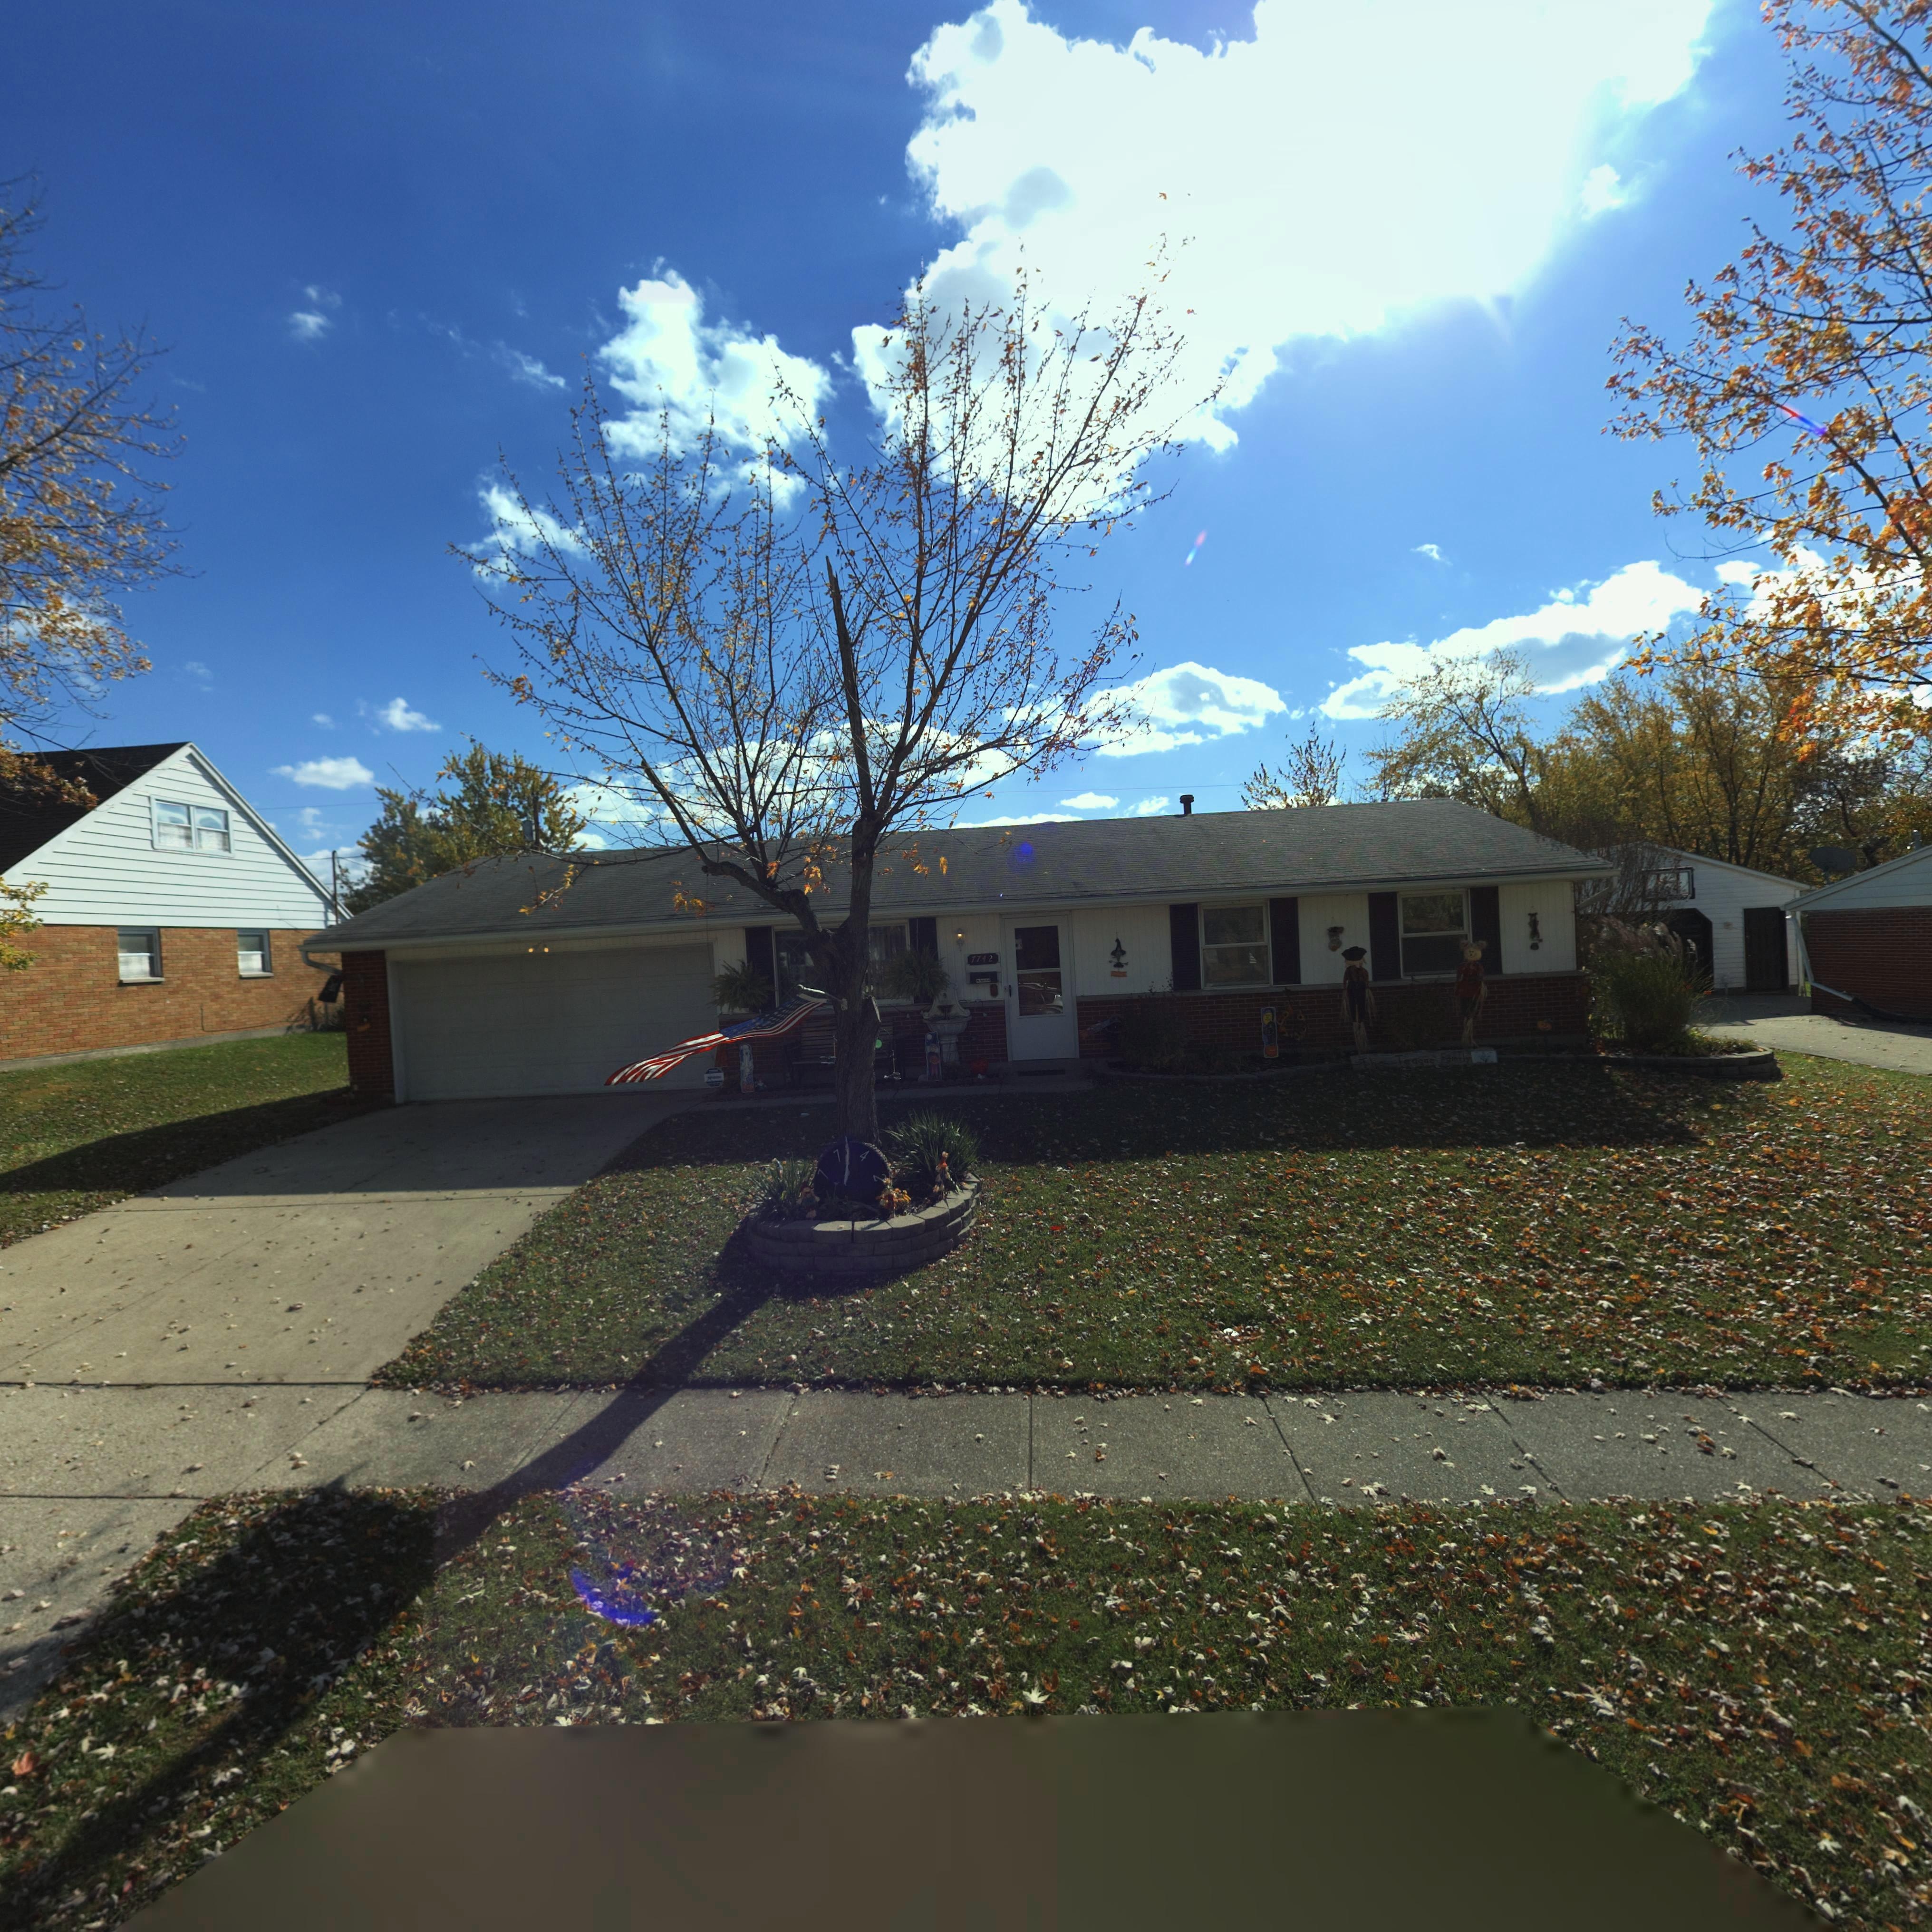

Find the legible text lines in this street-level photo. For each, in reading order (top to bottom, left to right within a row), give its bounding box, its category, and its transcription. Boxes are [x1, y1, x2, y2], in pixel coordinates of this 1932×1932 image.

[971, 954, 993, 963] StreetNumber: 7742
[816, 1148, 888, 1182] StreetNumber: 7742